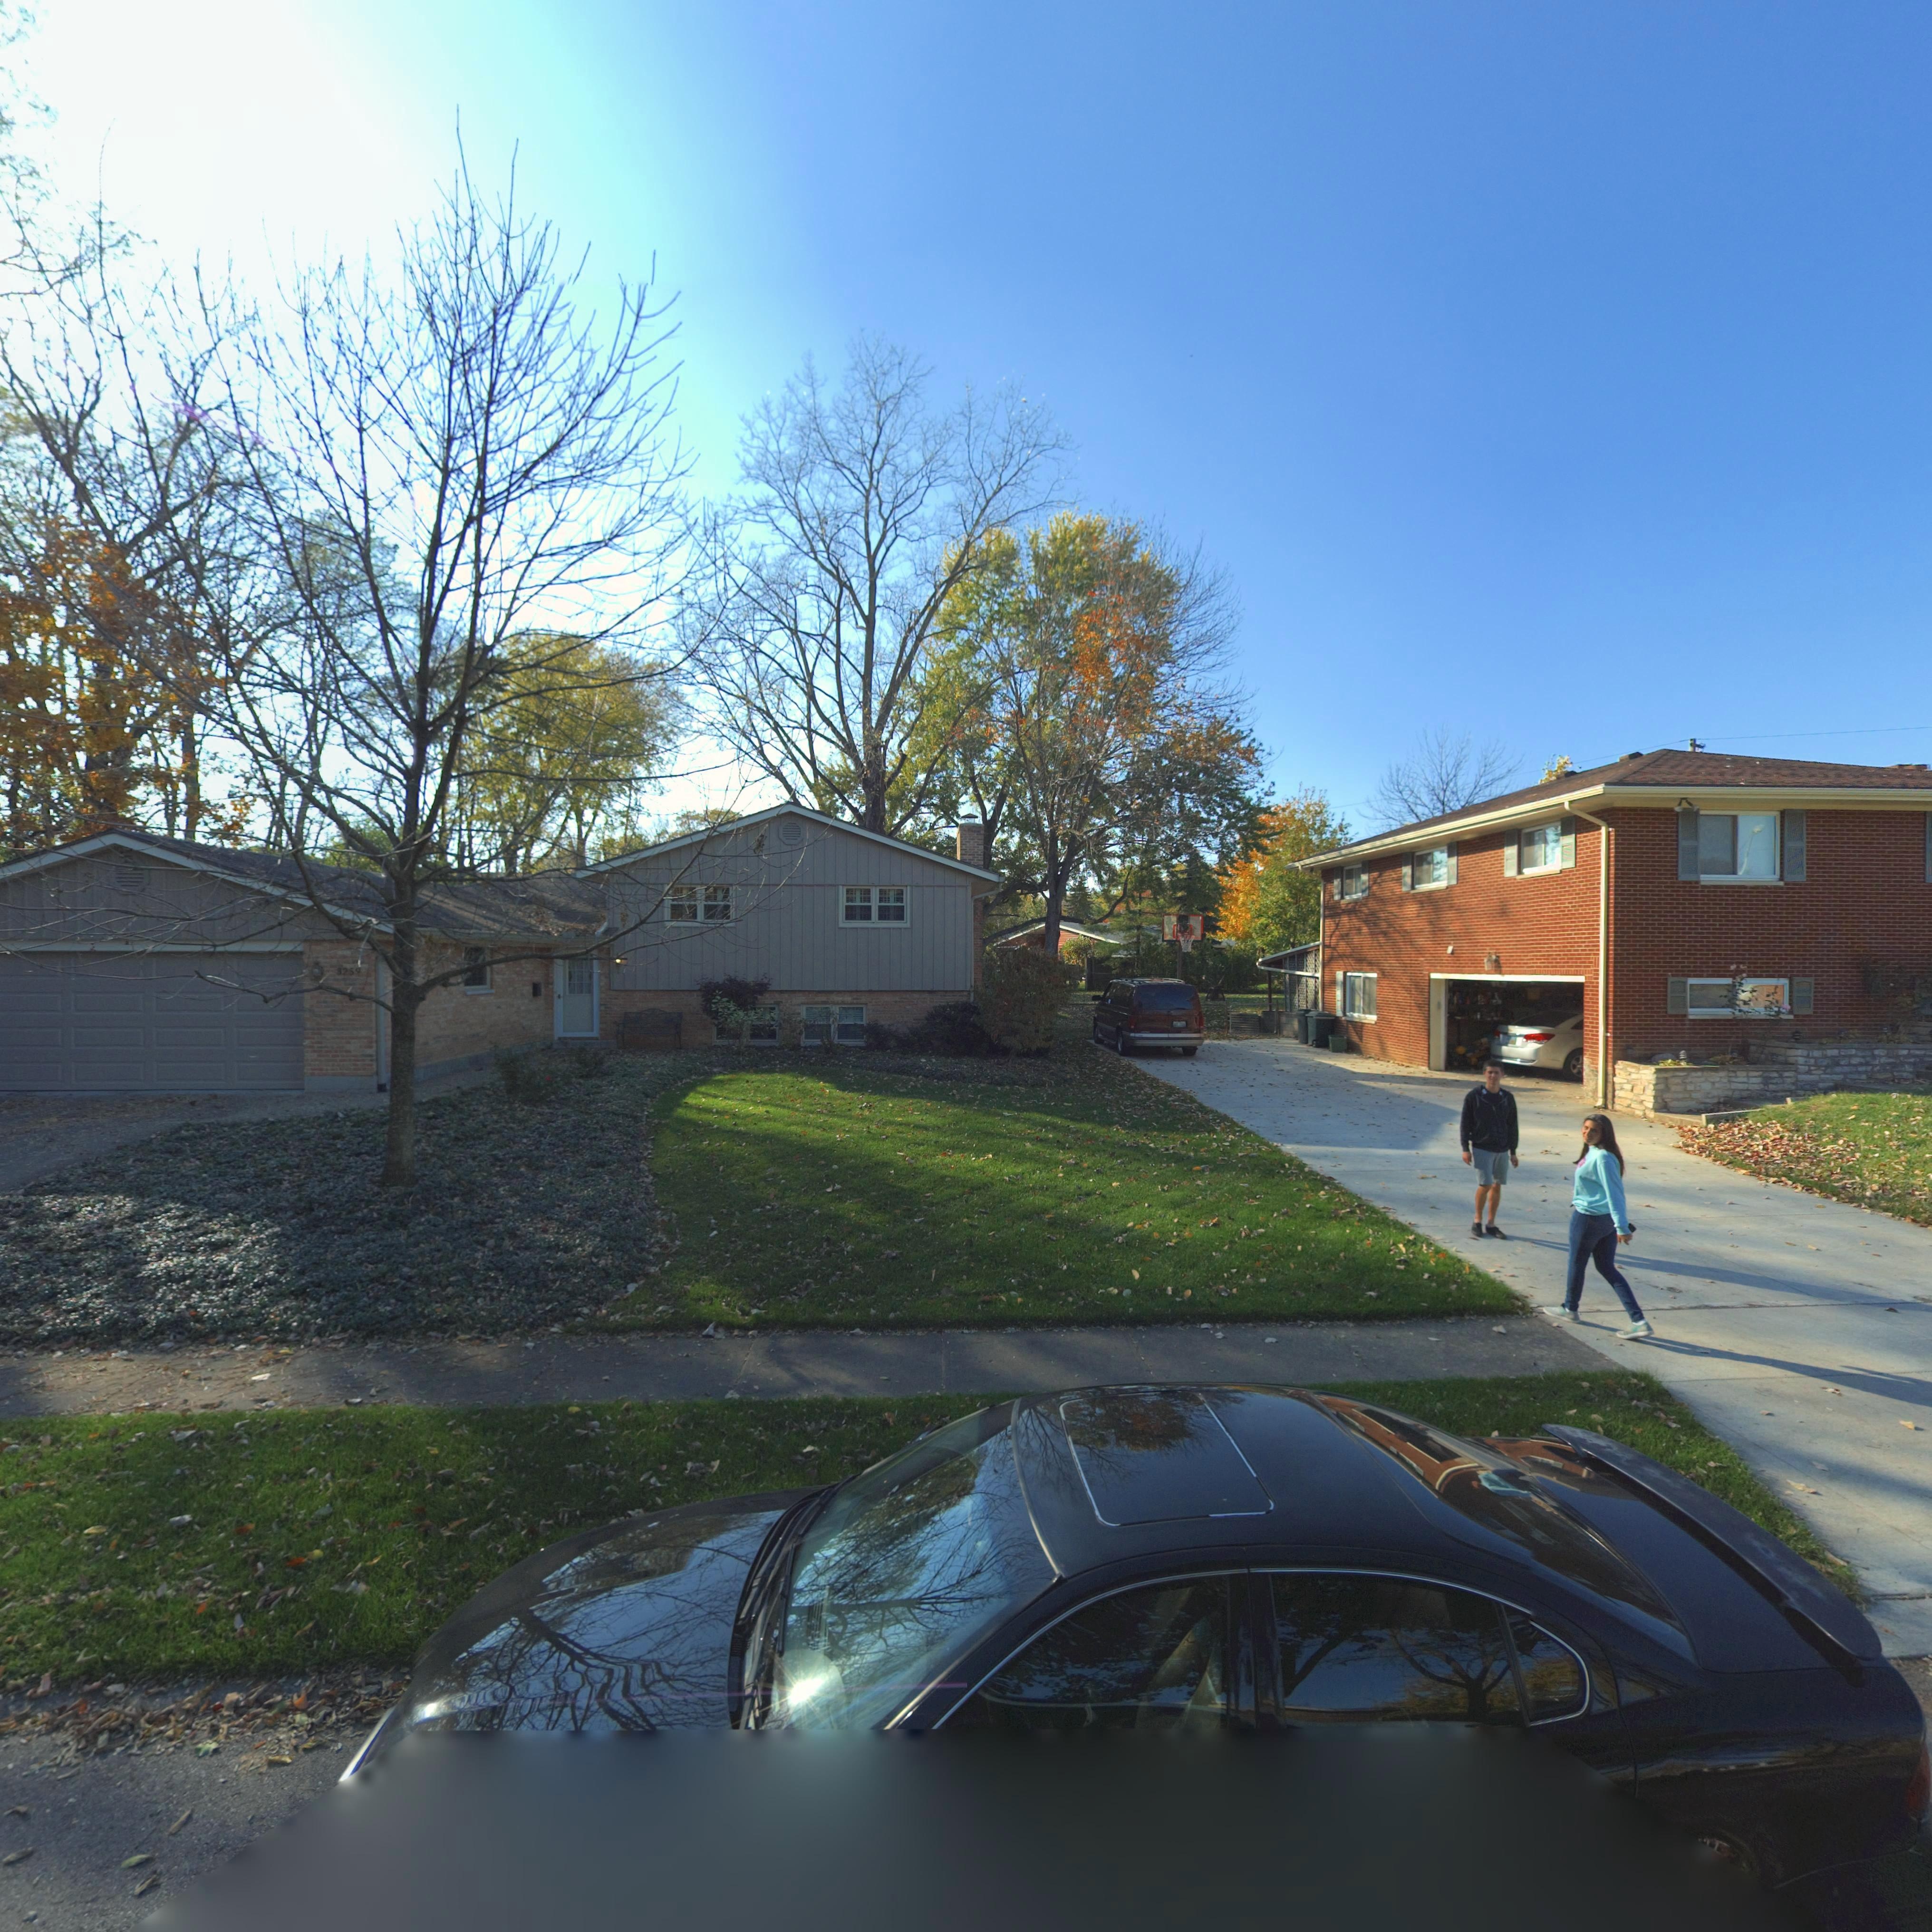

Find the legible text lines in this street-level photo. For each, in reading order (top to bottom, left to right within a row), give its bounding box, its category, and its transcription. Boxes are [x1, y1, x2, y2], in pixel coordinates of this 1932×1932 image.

[336, 966, 361, 976] StreetNumber: 3259